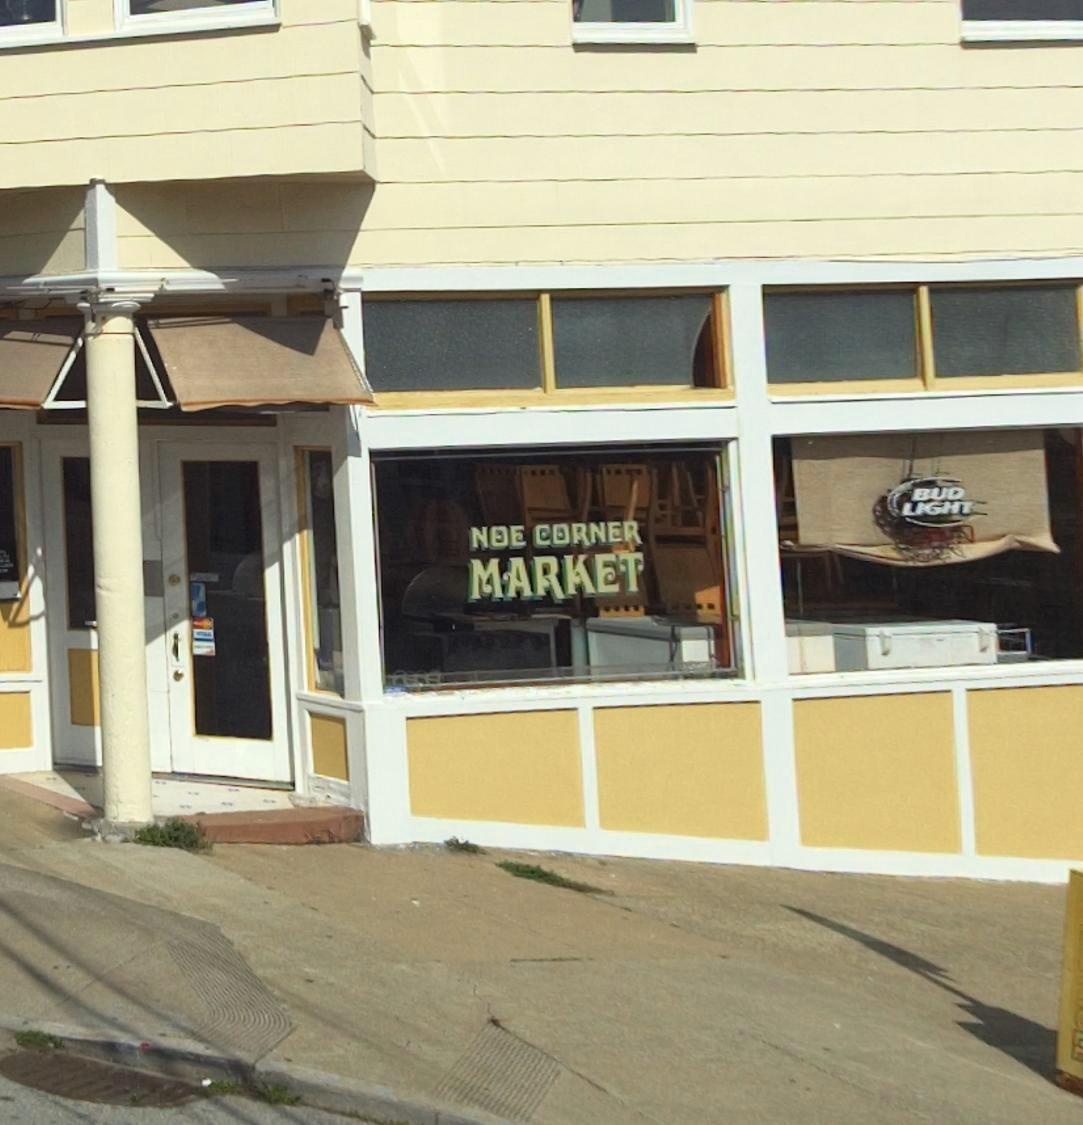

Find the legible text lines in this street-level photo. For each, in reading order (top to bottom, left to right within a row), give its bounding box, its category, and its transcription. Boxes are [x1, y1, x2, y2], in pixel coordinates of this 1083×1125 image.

[901, 500, 975, 517] None: LIGHT
[910, 486, 967, 502] None: BUD
[468, 519, 643, 551] BusinessName: NOE CORNER
[468, 550, 645, 601] BusinessName: MARKET